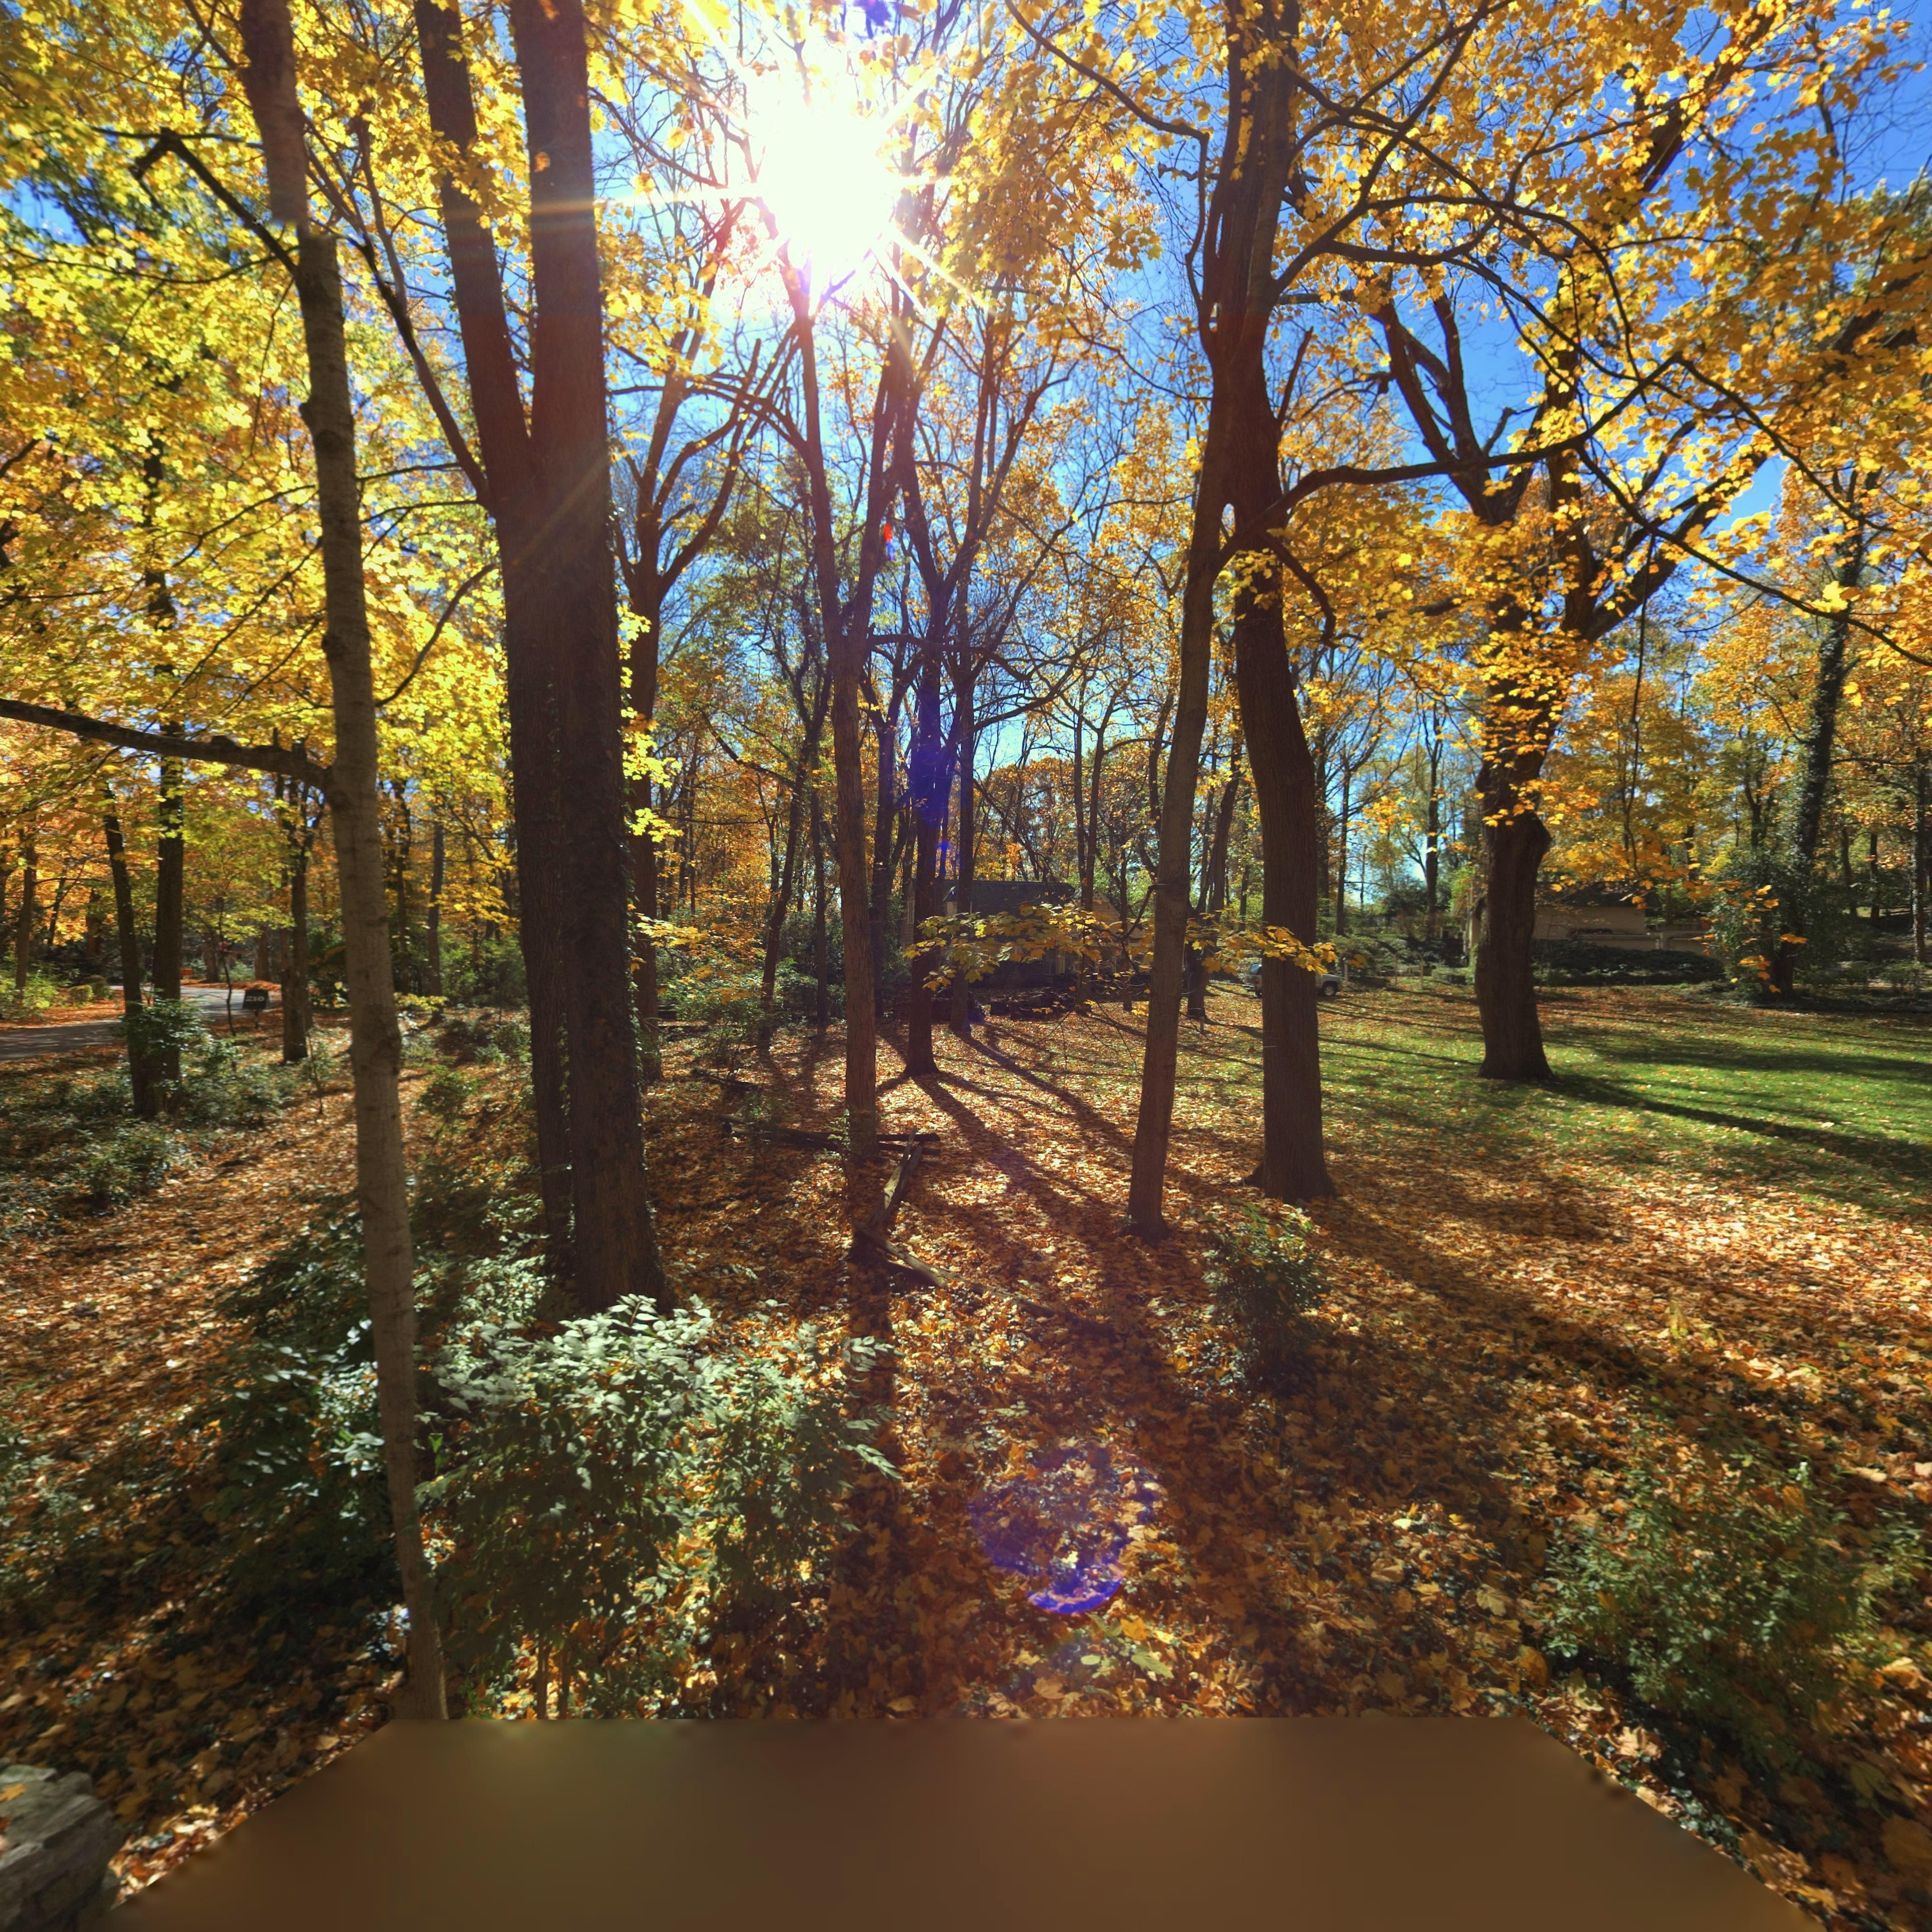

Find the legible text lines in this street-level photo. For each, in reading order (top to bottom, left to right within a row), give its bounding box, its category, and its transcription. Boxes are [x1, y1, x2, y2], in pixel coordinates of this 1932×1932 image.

[244, 995, 266, 1002] StreetNumber: 210